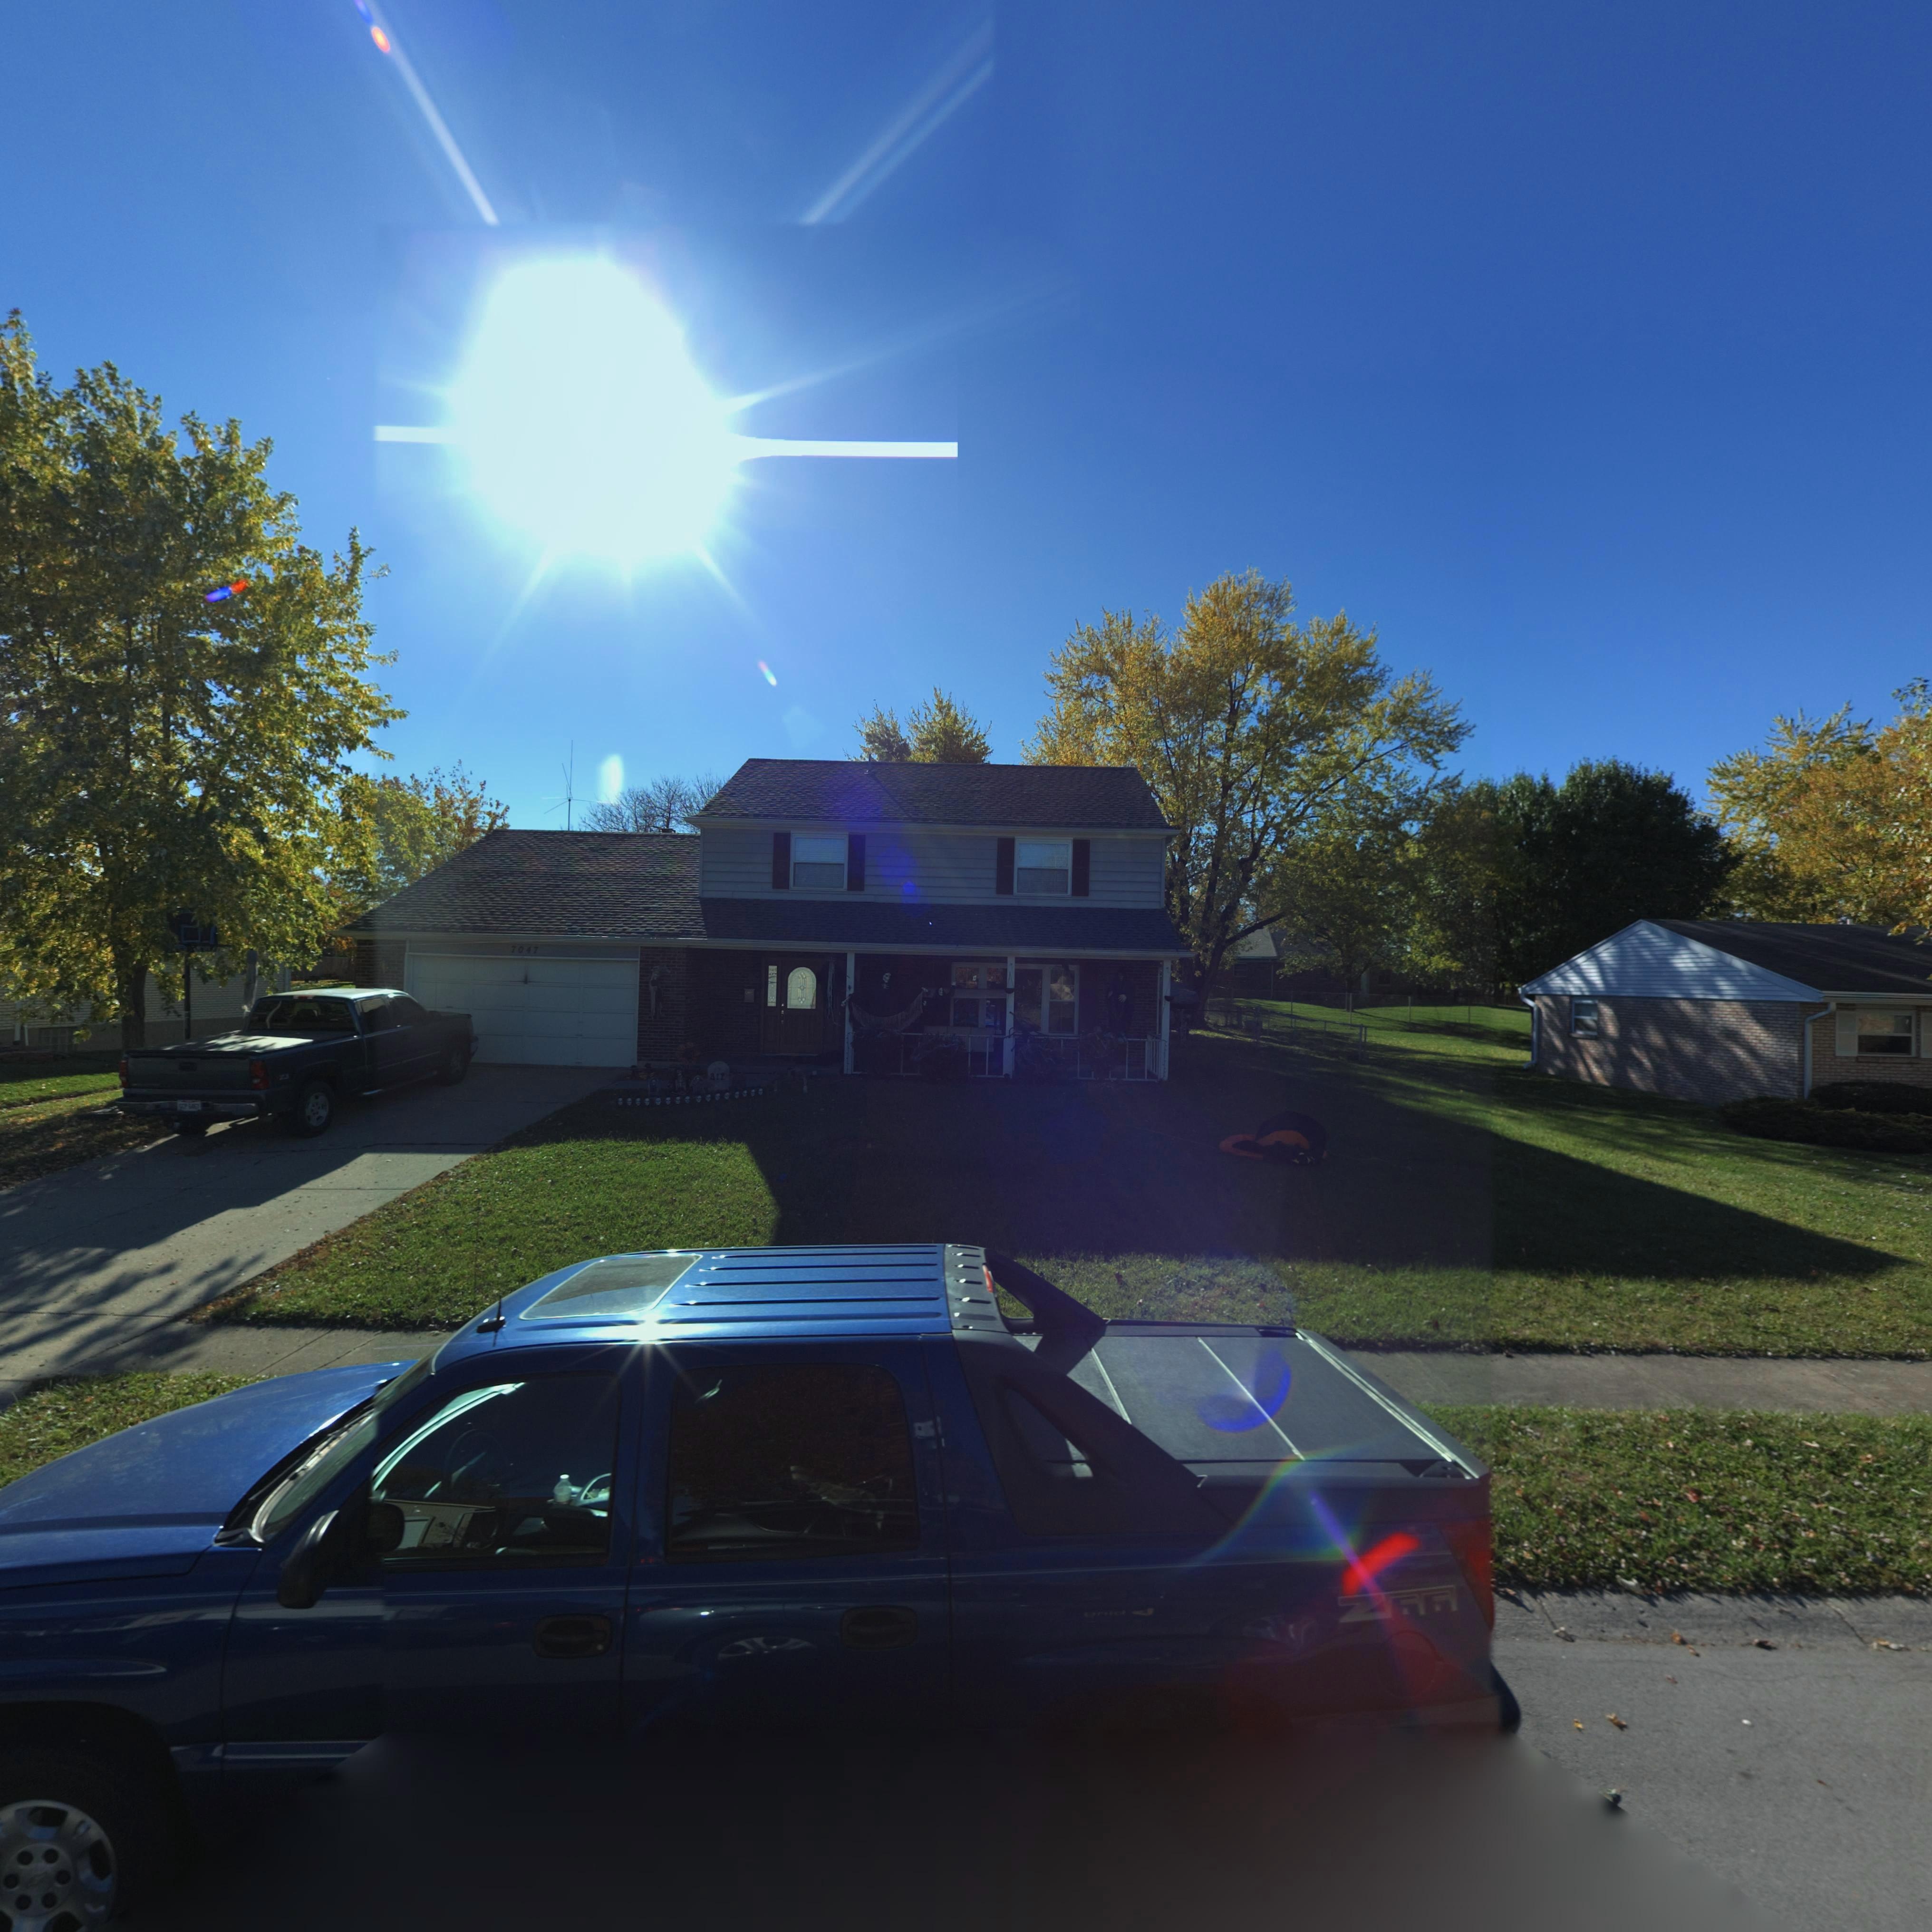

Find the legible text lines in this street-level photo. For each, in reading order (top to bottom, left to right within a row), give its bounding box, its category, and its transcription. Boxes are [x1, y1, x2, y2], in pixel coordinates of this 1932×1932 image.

[511, 945, 540, 954] StreetNumber: 7047